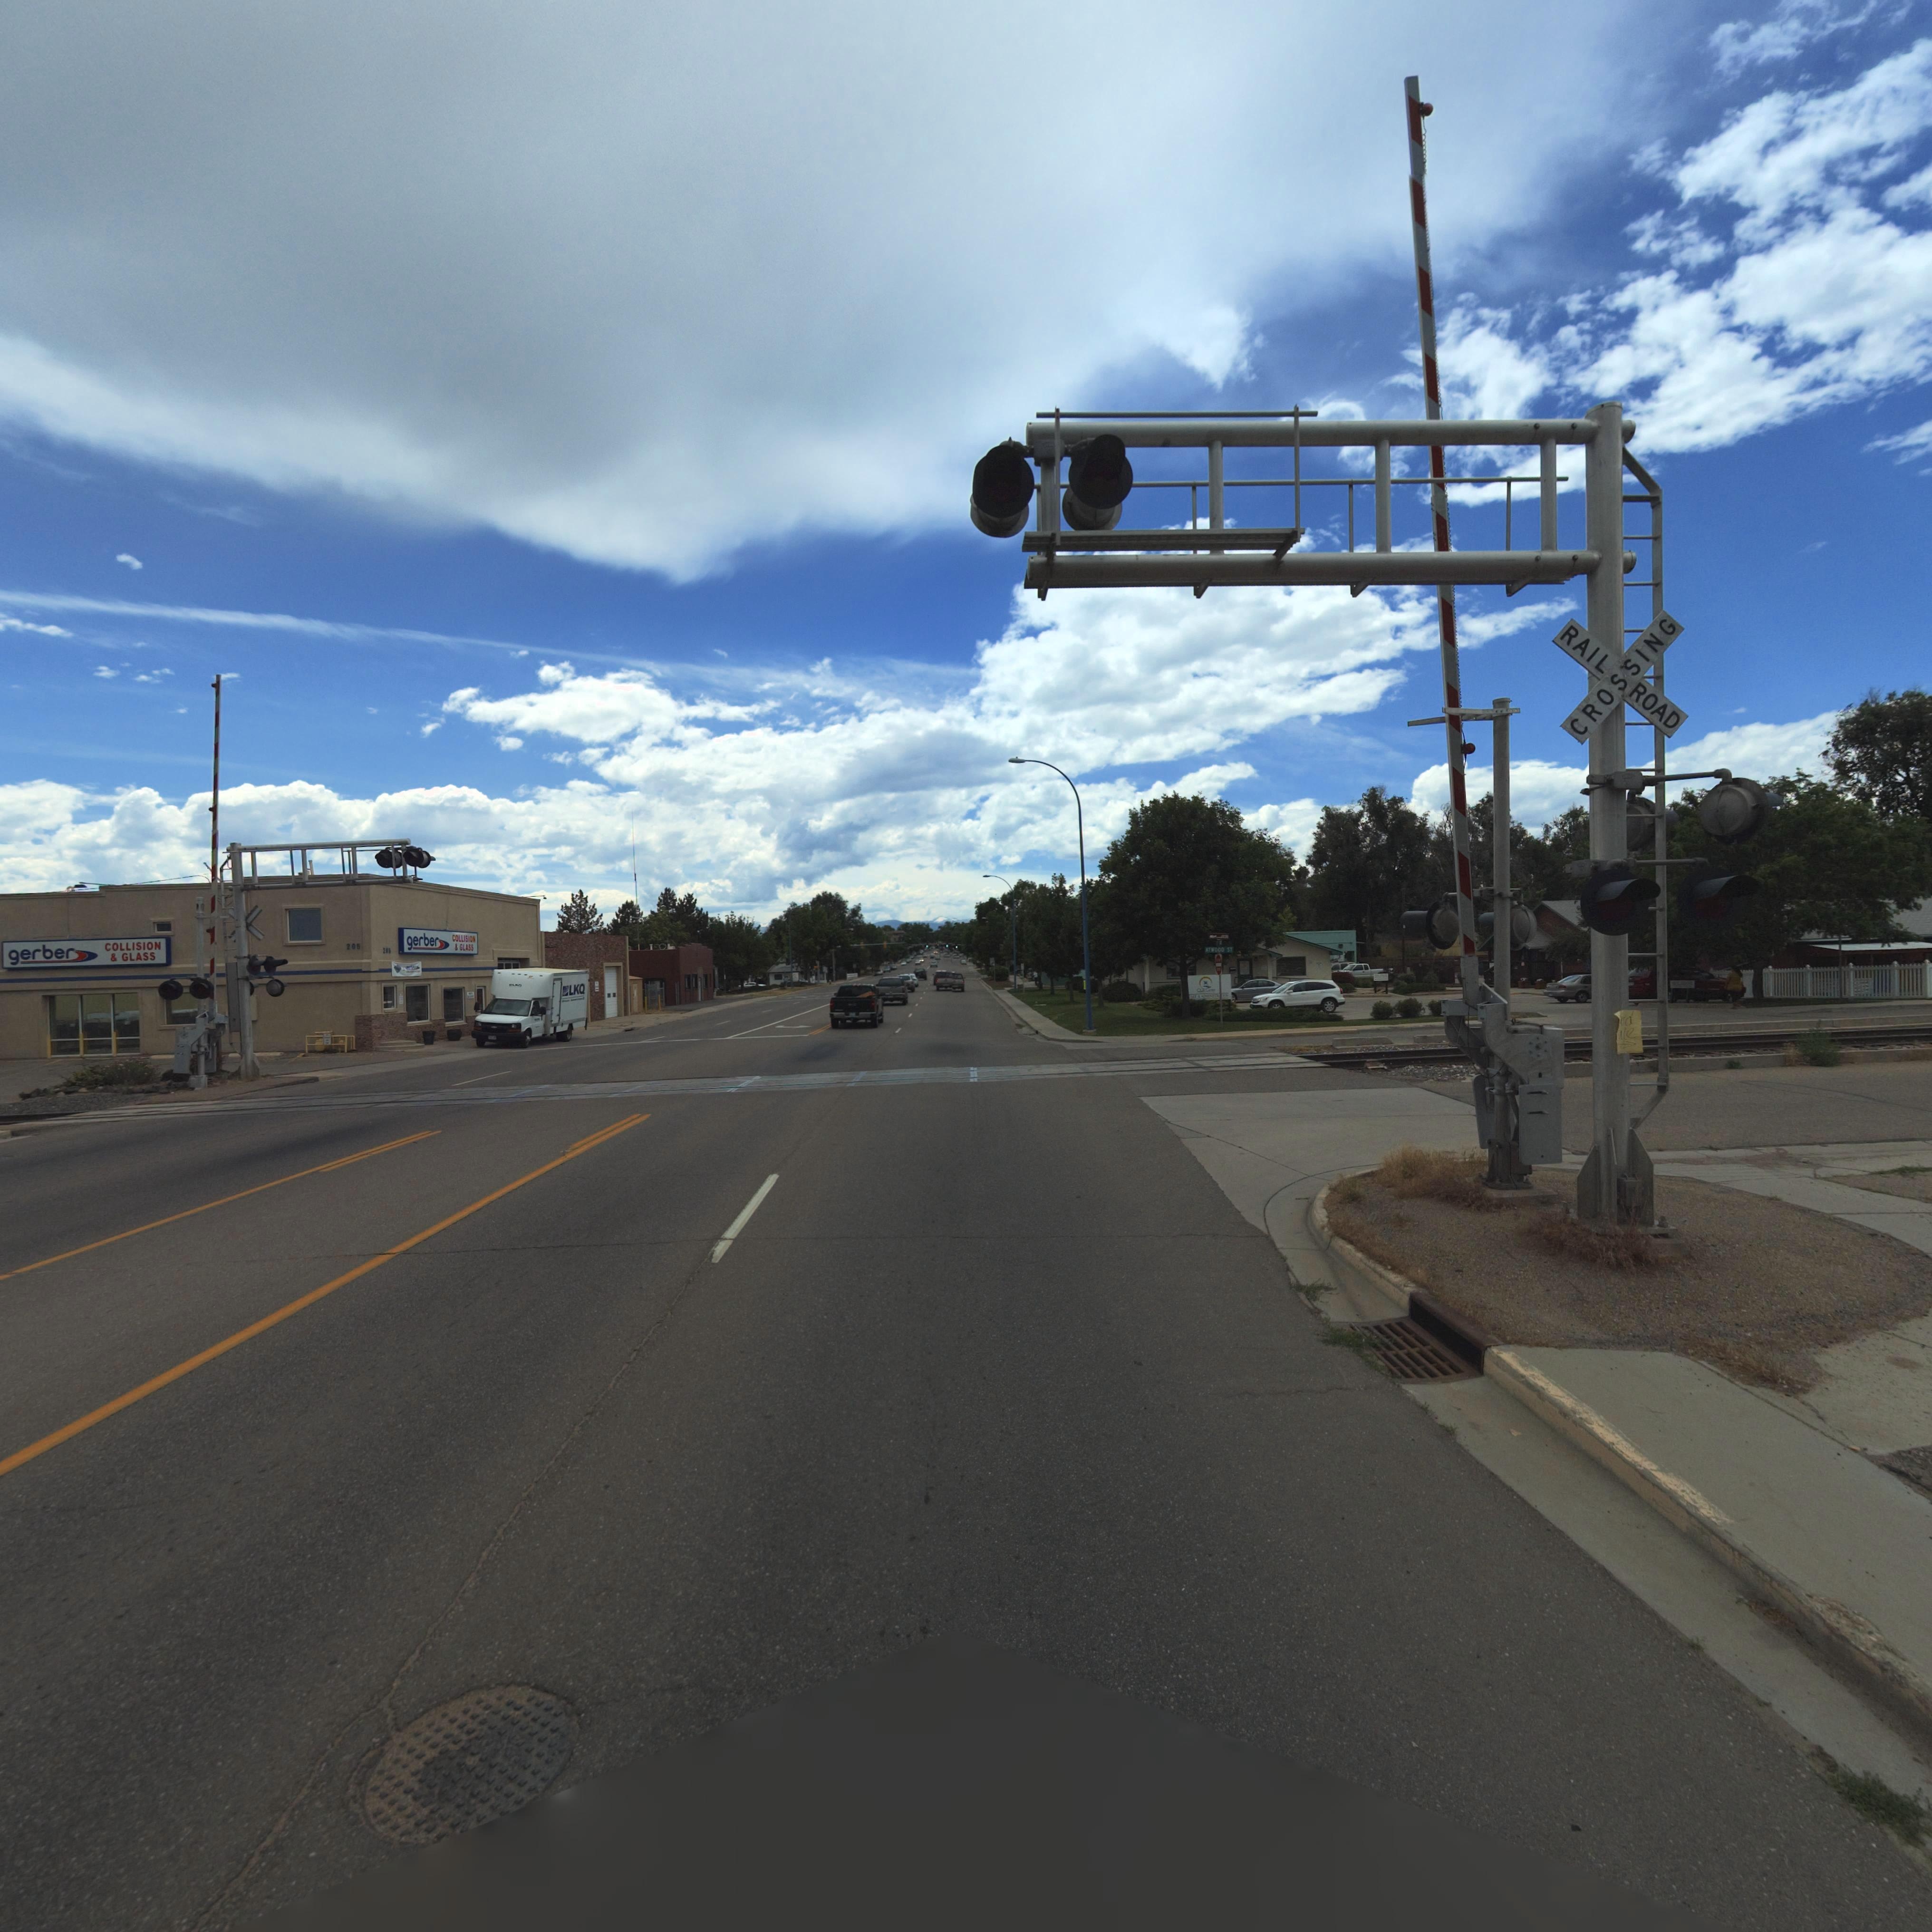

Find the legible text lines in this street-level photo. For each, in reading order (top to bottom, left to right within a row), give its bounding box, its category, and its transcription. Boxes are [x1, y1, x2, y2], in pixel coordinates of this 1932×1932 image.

[406, 932, 439, 950] BusinessName: gerber
[452, 933, 475, 943] BusinessName: COLLISION
[8, 944, 75, 966] BusinessName: gerber
[109, 951, 155, 962] BusinessName: & GLASS
[104, 941, 161, 952] BusinessName: COLLISION
[345, 942, 360, 951] StreetNumber: 205
[382, 947, 391, 954] StreetNumber: 205
[454, 943, 474, 951] BusinessName: & GLASS
[1206, 947, 1232, 952] StreetName: ATWOOD ST